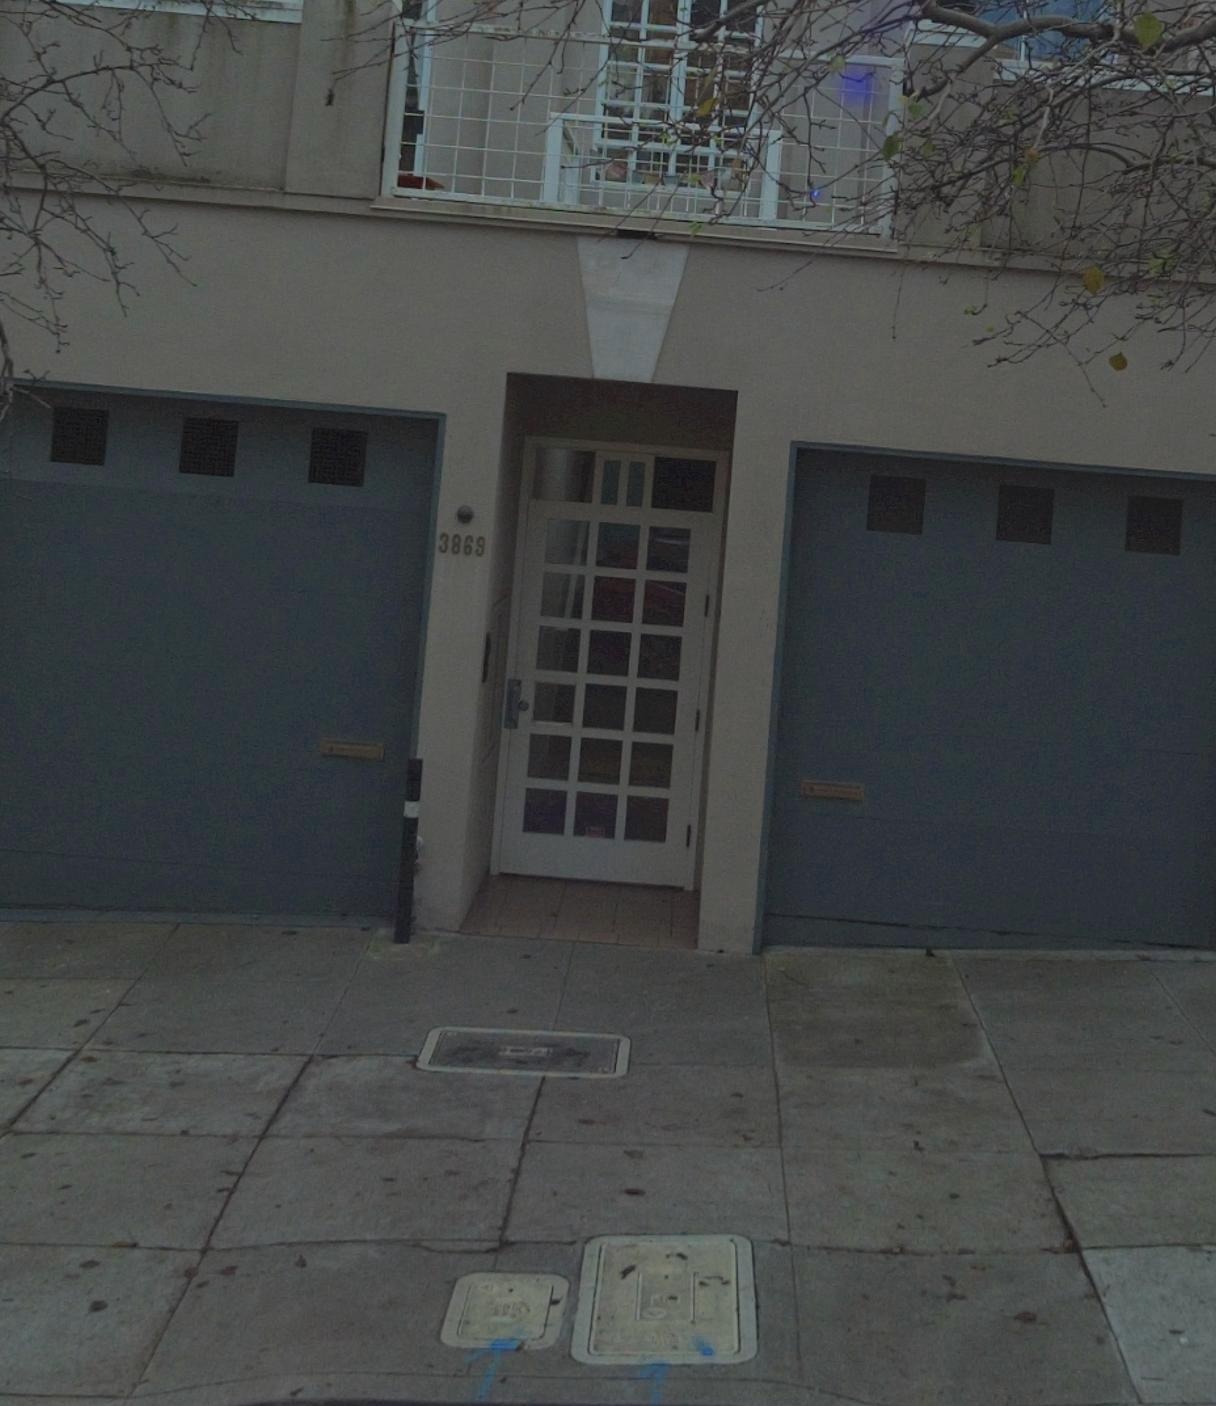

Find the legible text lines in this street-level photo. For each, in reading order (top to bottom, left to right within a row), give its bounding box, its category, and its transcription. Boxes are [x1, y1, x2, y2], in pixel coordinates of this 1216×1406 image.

[437, 531, 486, 558] StreetNumber: 3869